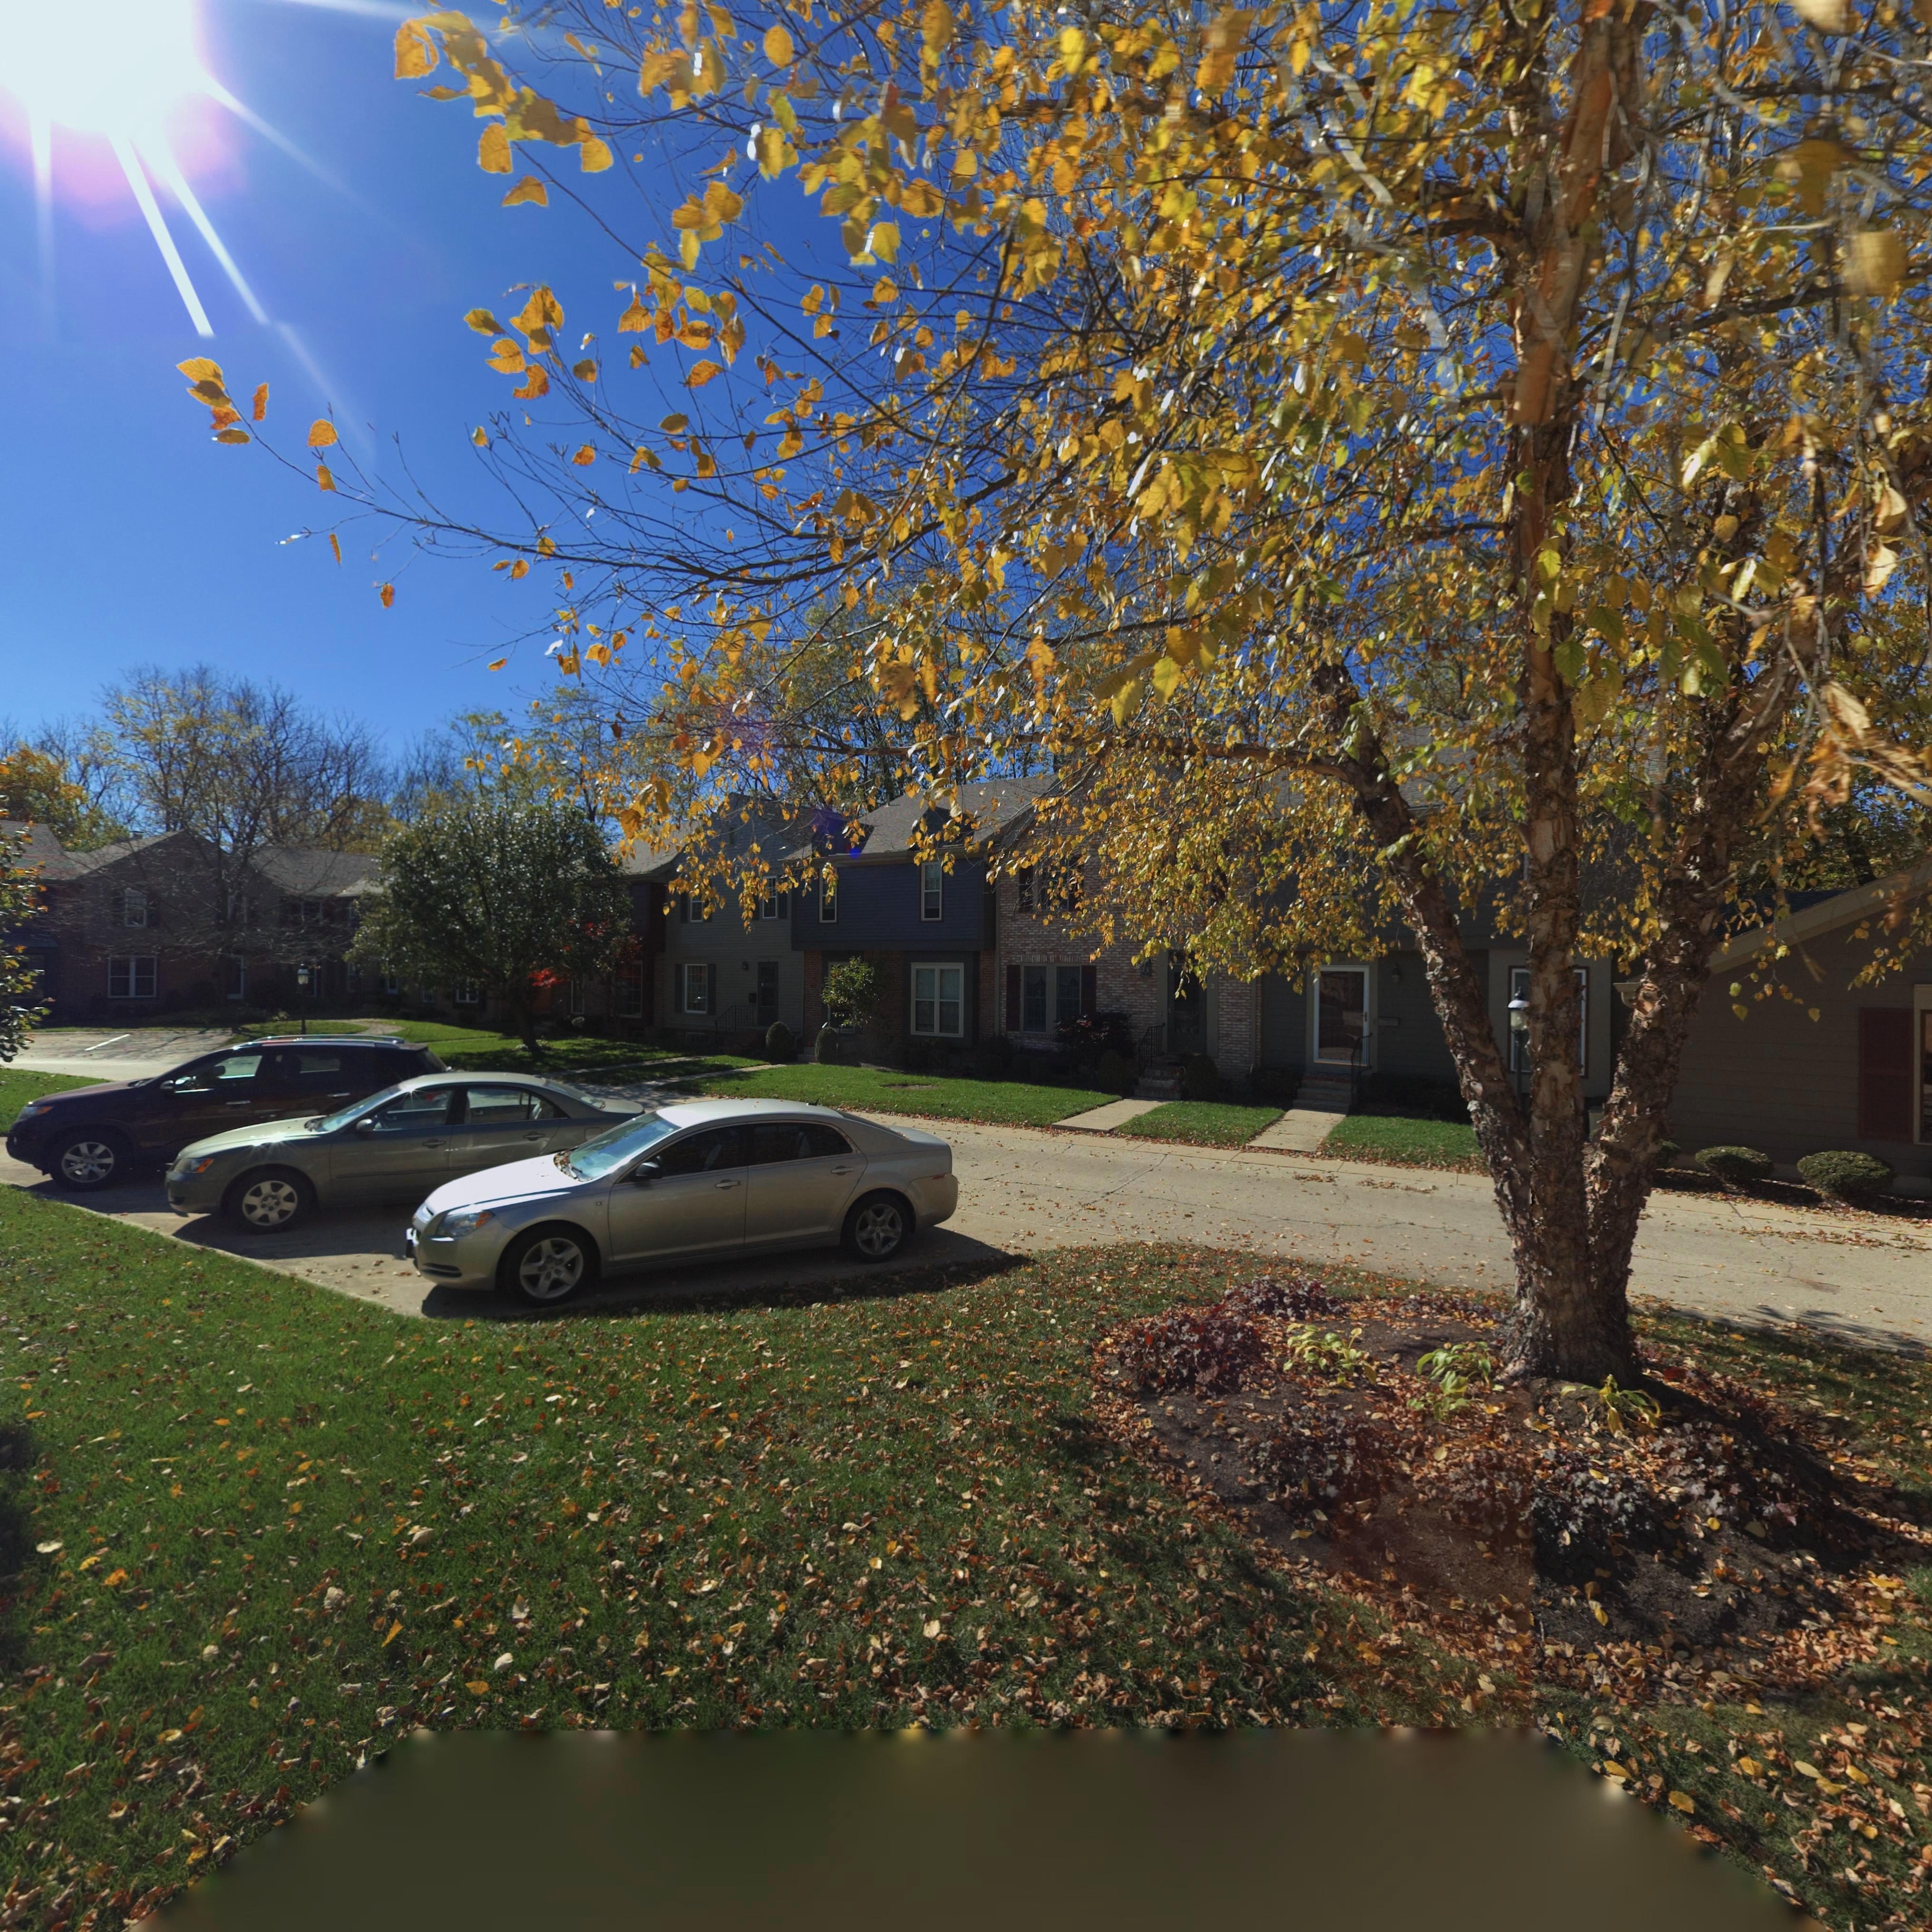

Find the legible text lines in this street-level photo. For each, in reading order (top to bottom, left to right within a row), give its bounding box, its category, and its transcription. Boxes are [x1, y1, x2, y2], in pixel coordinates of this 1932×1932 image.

[1337, 955, 1346, 963] StreetNumber: 24